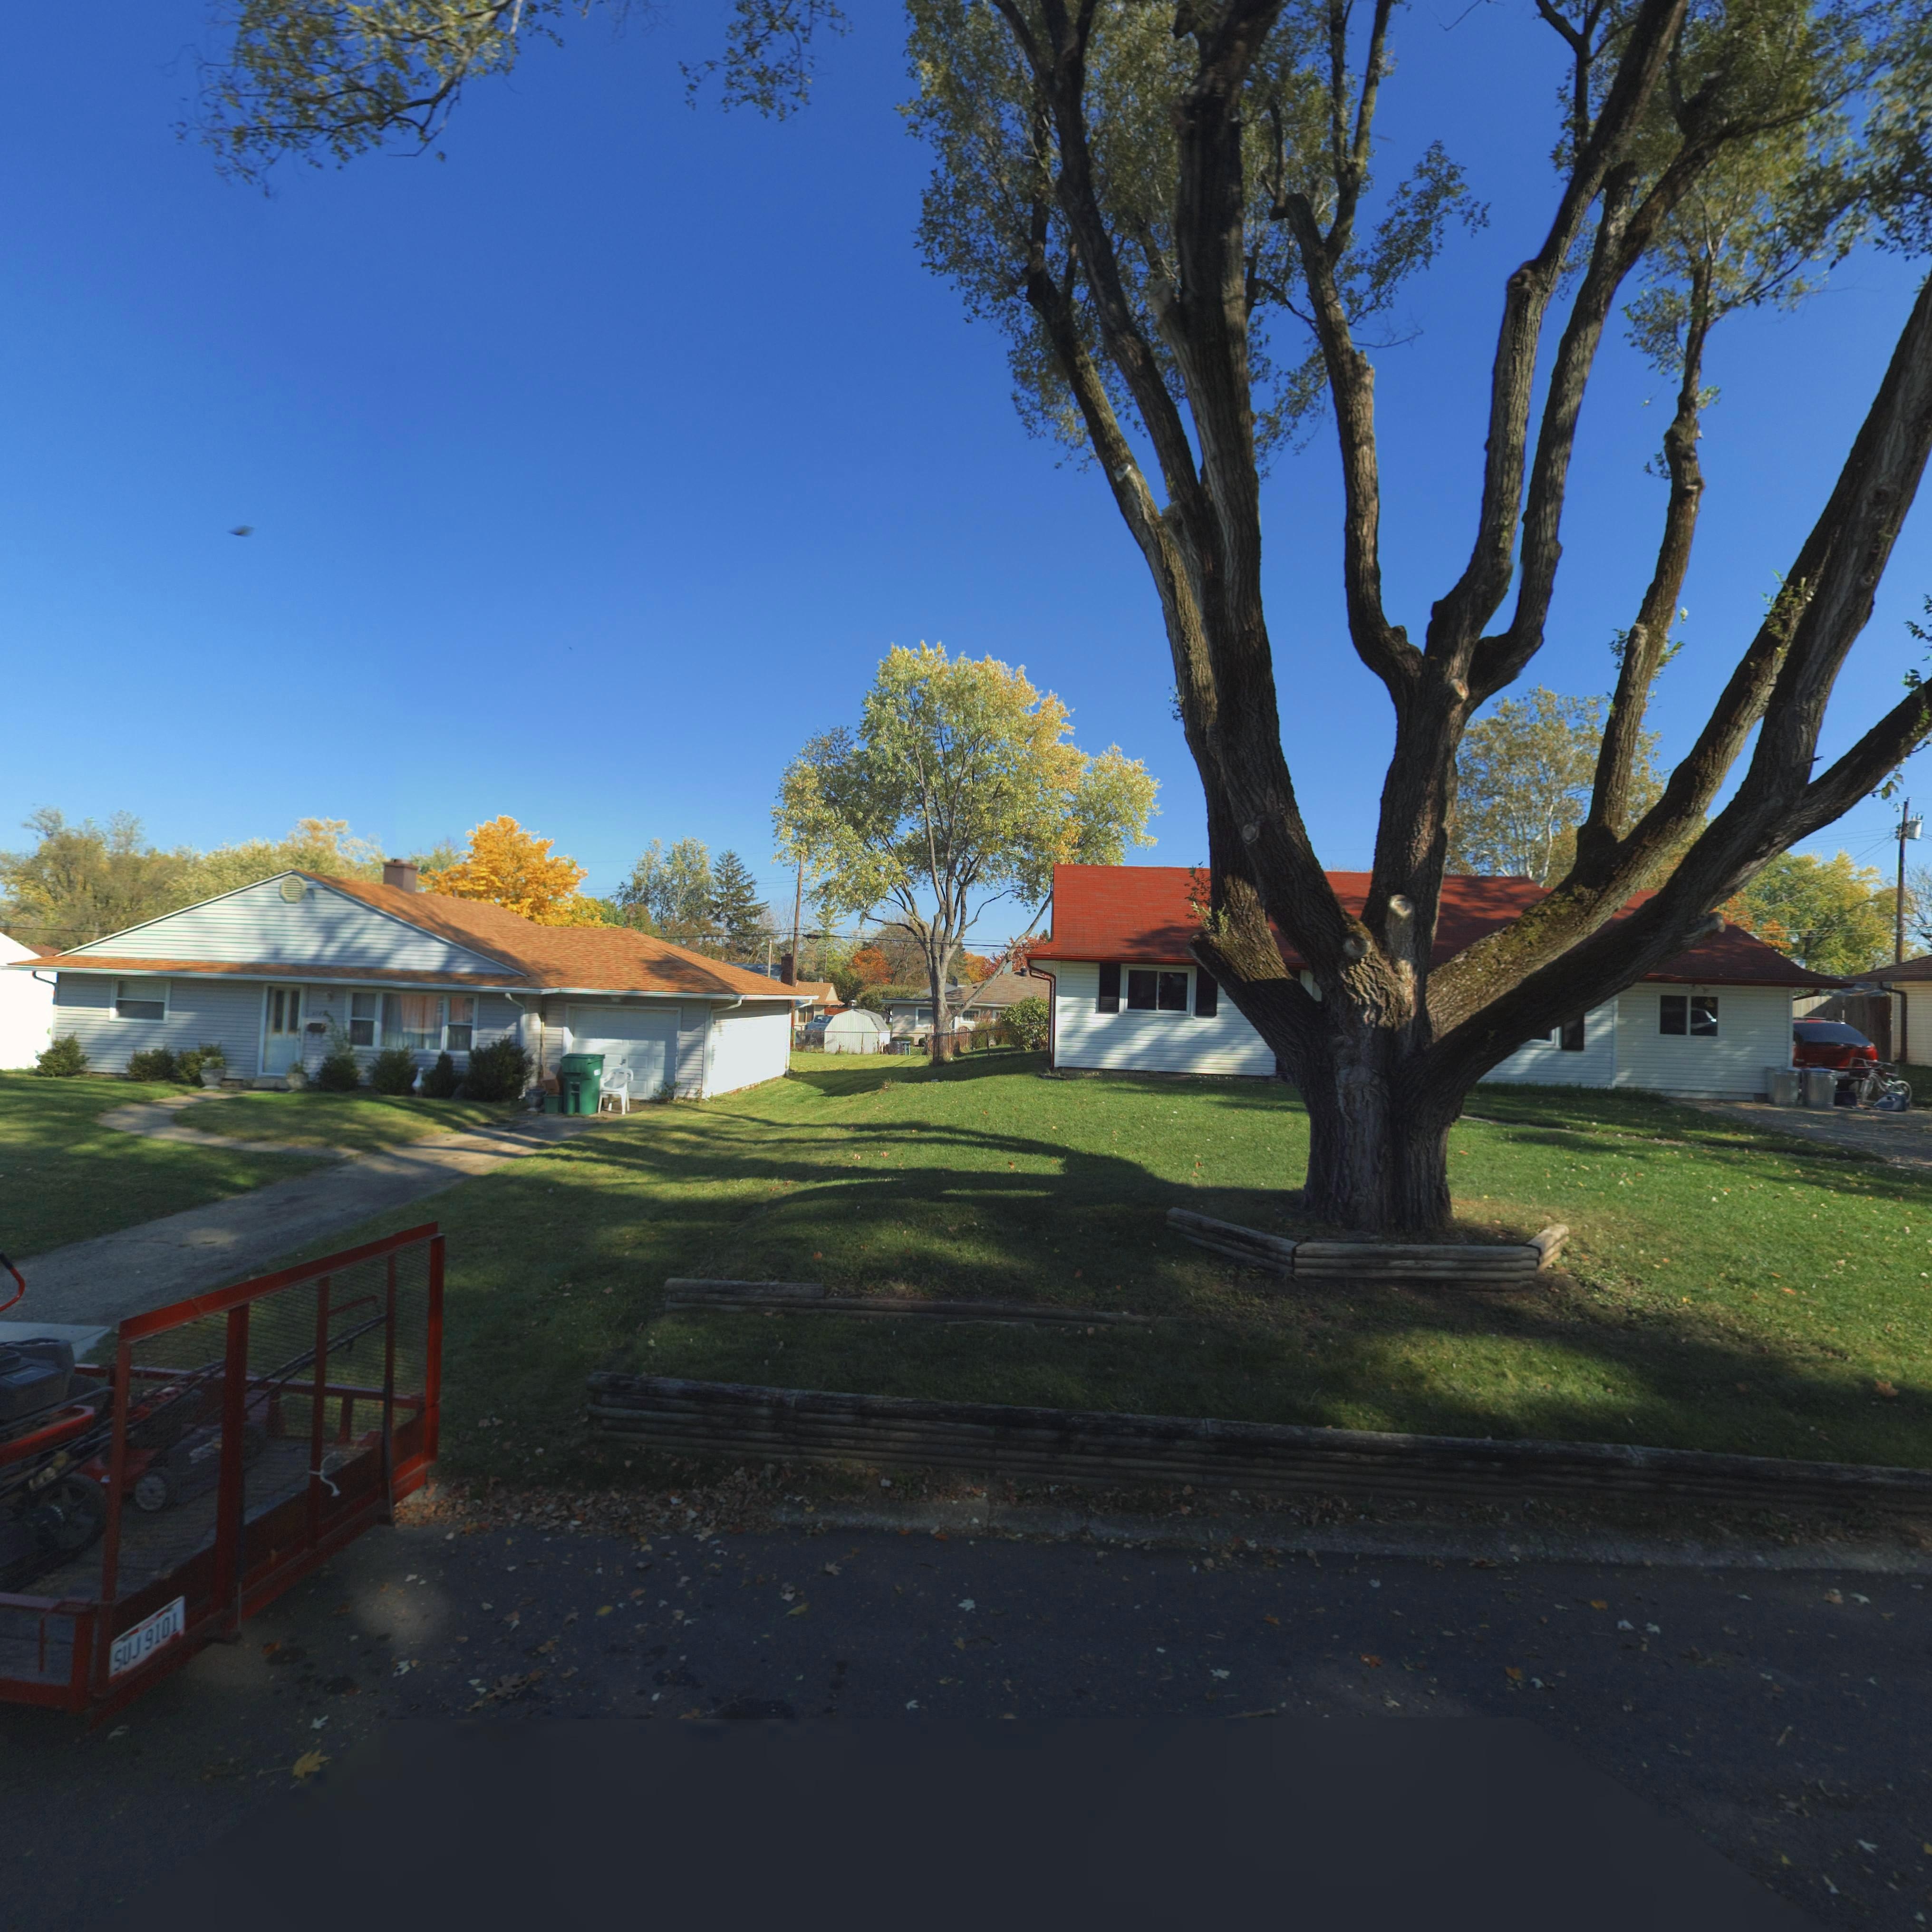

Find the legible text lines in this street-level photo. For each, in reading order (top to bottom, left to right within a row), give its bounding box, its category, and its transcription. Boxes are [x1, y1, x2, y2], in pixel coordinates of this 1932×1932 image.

[111, 1608, 180, 1675] None: SUJ 9101